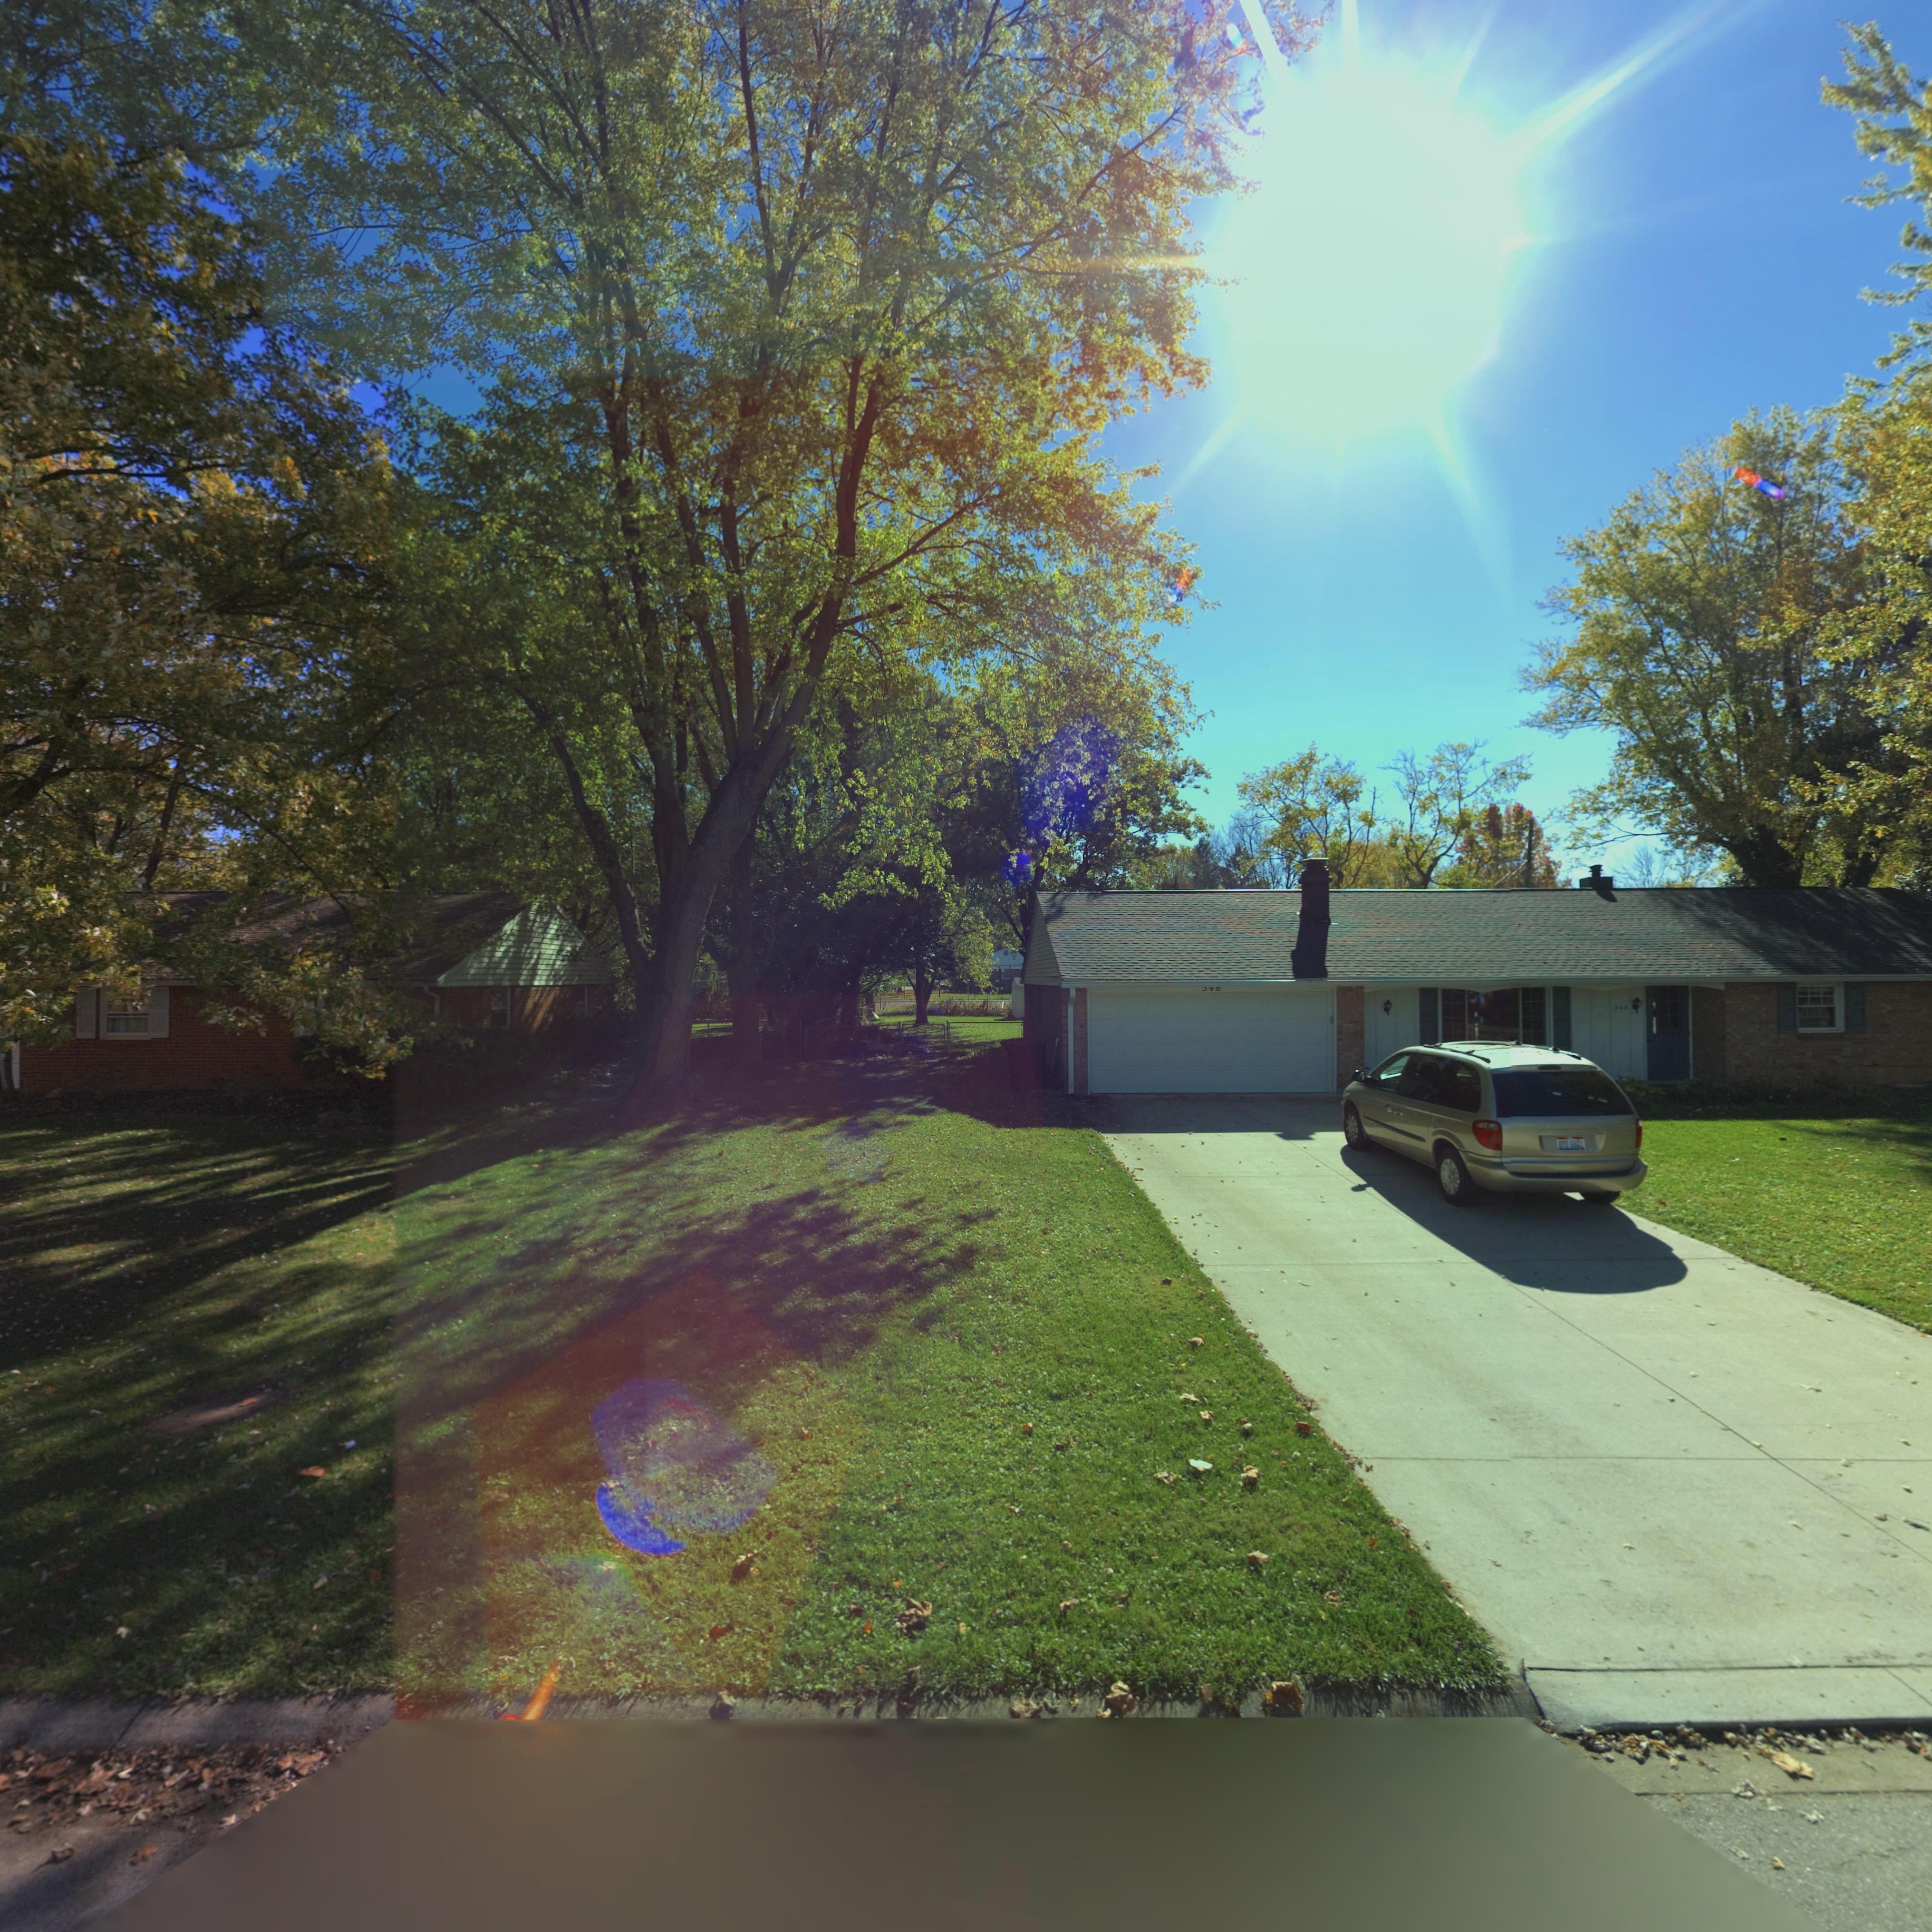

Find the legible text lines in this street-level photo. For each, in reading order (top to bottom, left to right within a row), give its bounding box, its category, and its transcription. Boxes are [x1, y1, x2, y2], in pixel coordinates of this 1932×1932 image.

[1557, 1139, 1584, 1149] None: DYB*66**